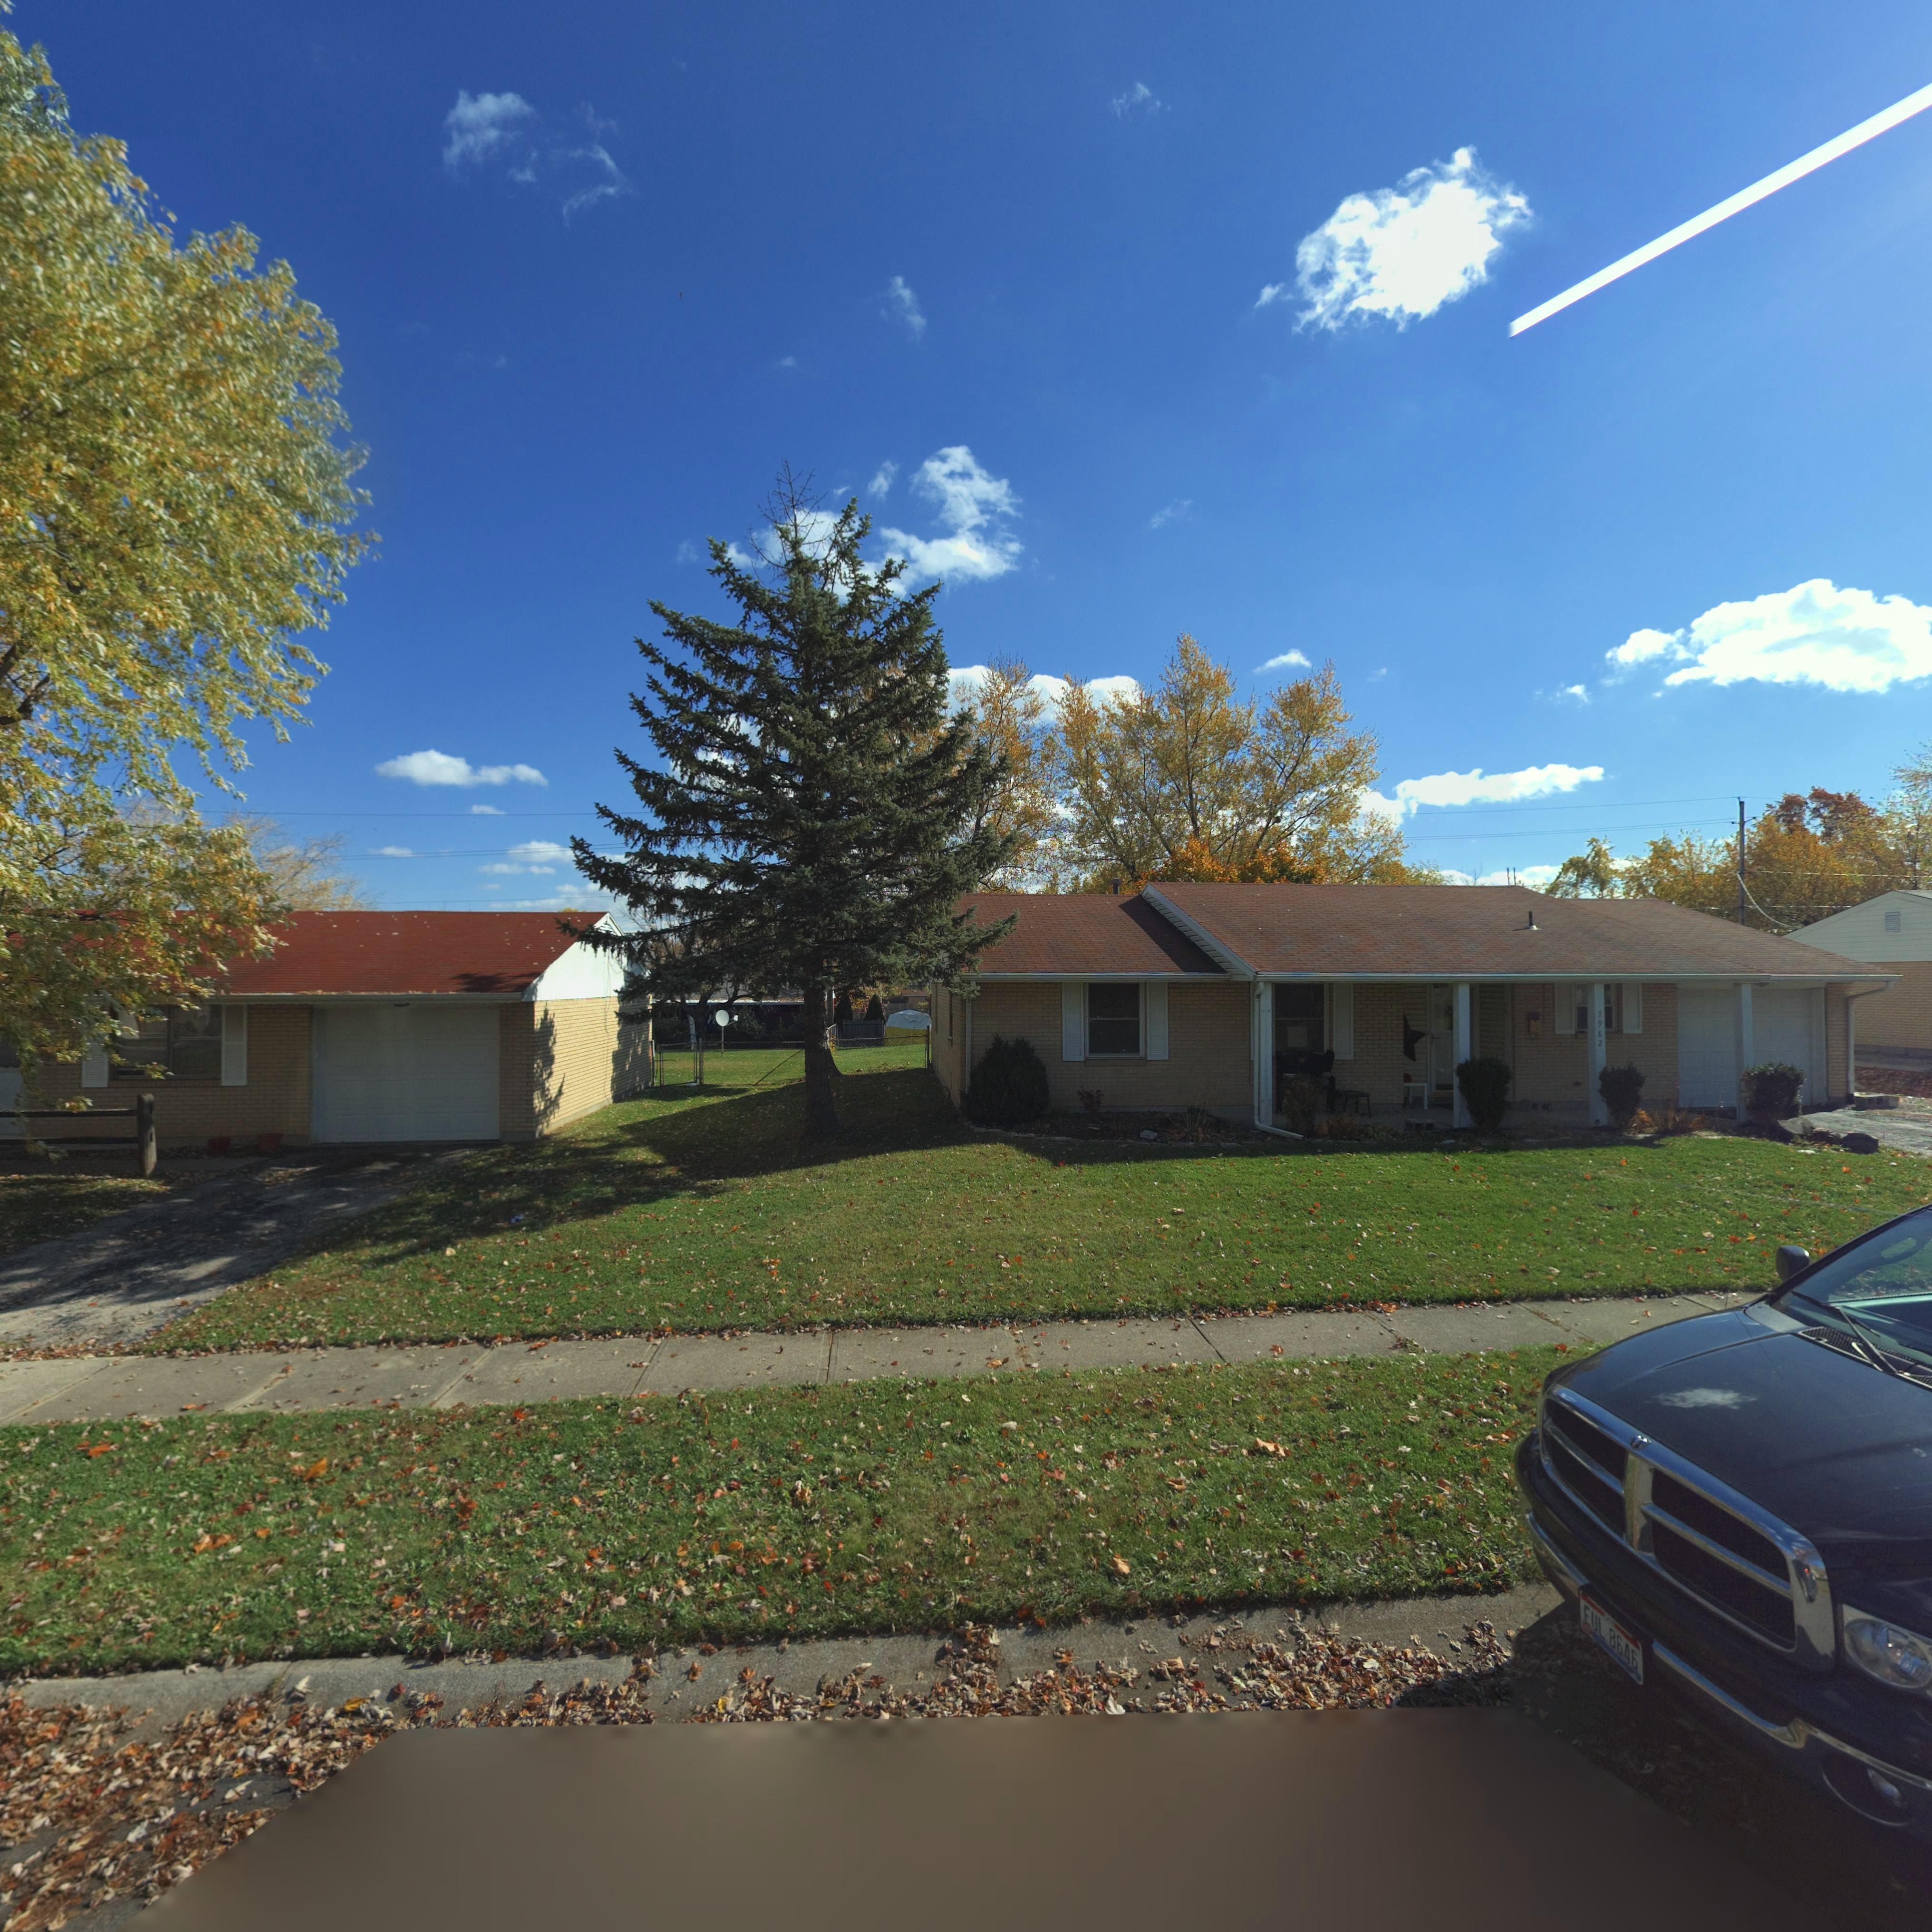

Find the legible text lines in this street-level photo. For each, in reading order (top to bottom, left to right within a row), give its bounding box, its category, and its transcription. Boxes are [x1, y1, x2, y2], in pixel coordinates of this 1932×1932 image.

[1595, 1009, 1604, 1049] StreetNumber: *982